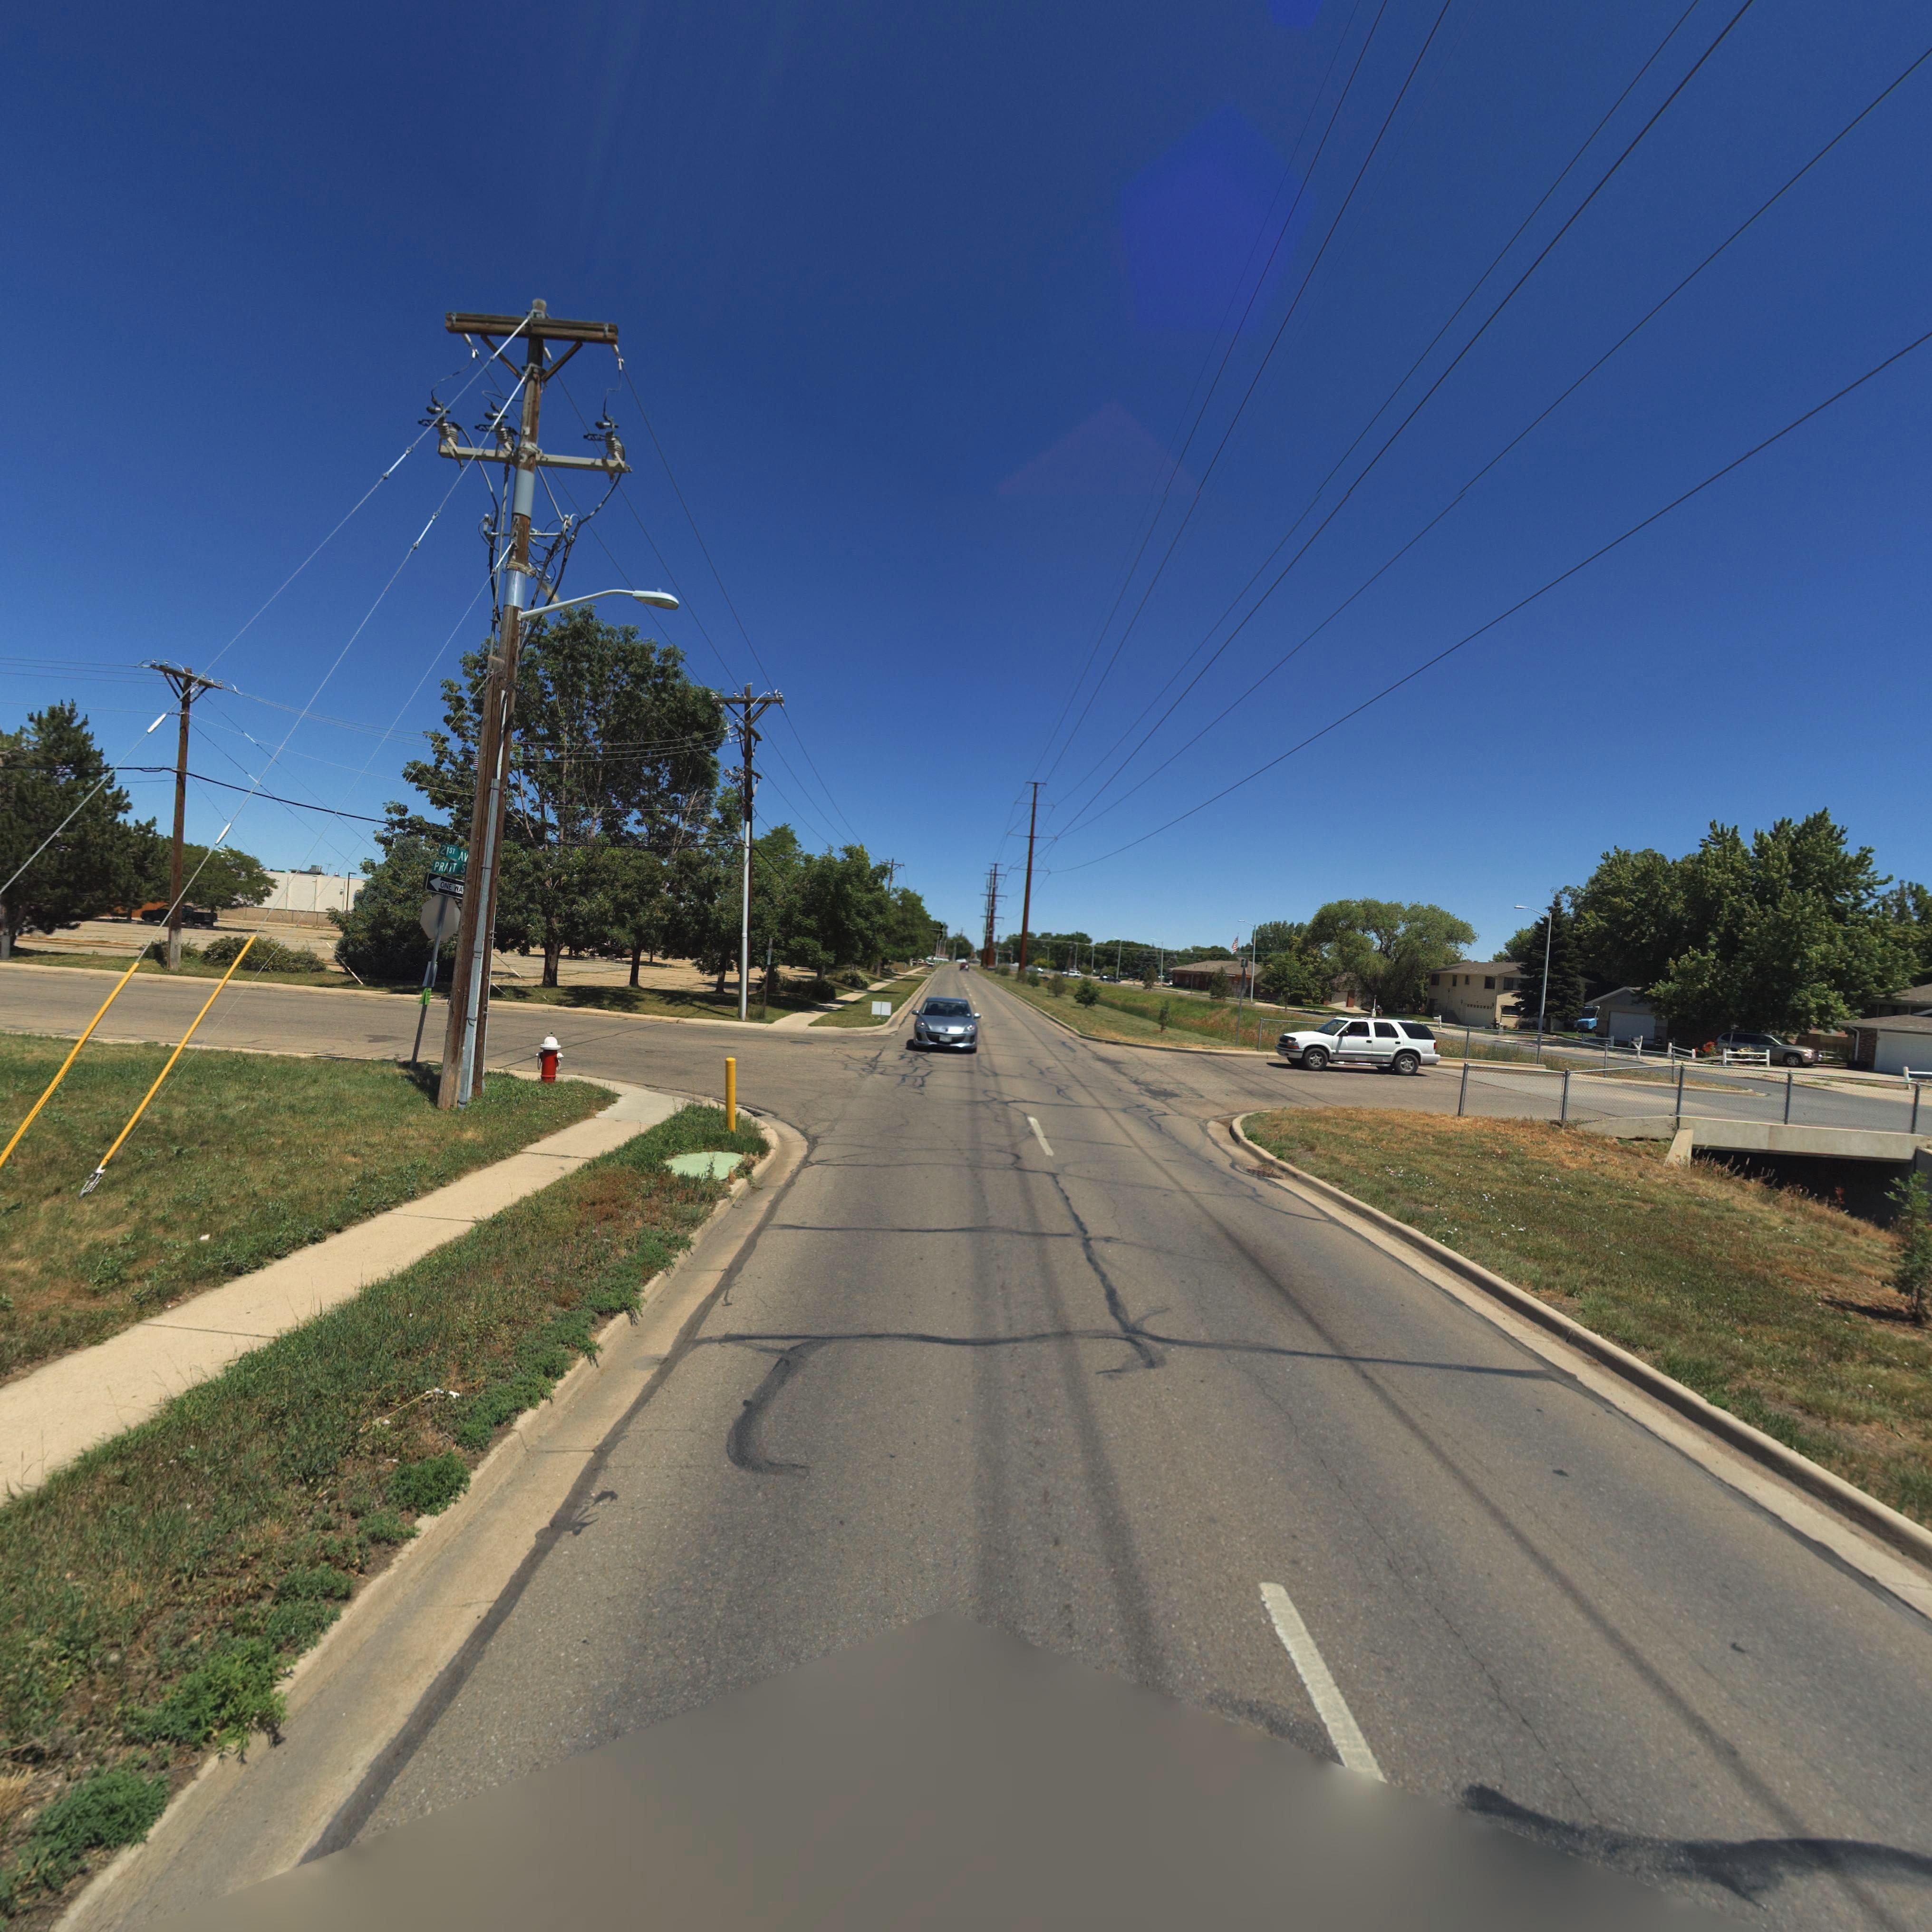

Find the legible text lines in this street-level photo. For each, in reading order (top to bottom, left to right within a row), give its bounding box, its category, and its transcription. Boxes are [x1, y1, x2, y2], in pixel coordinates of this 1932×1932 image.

[439, 844, 469, 863] StreetName: 21ST AV
[433, 861, 466, 873] StreetName: PRATT S